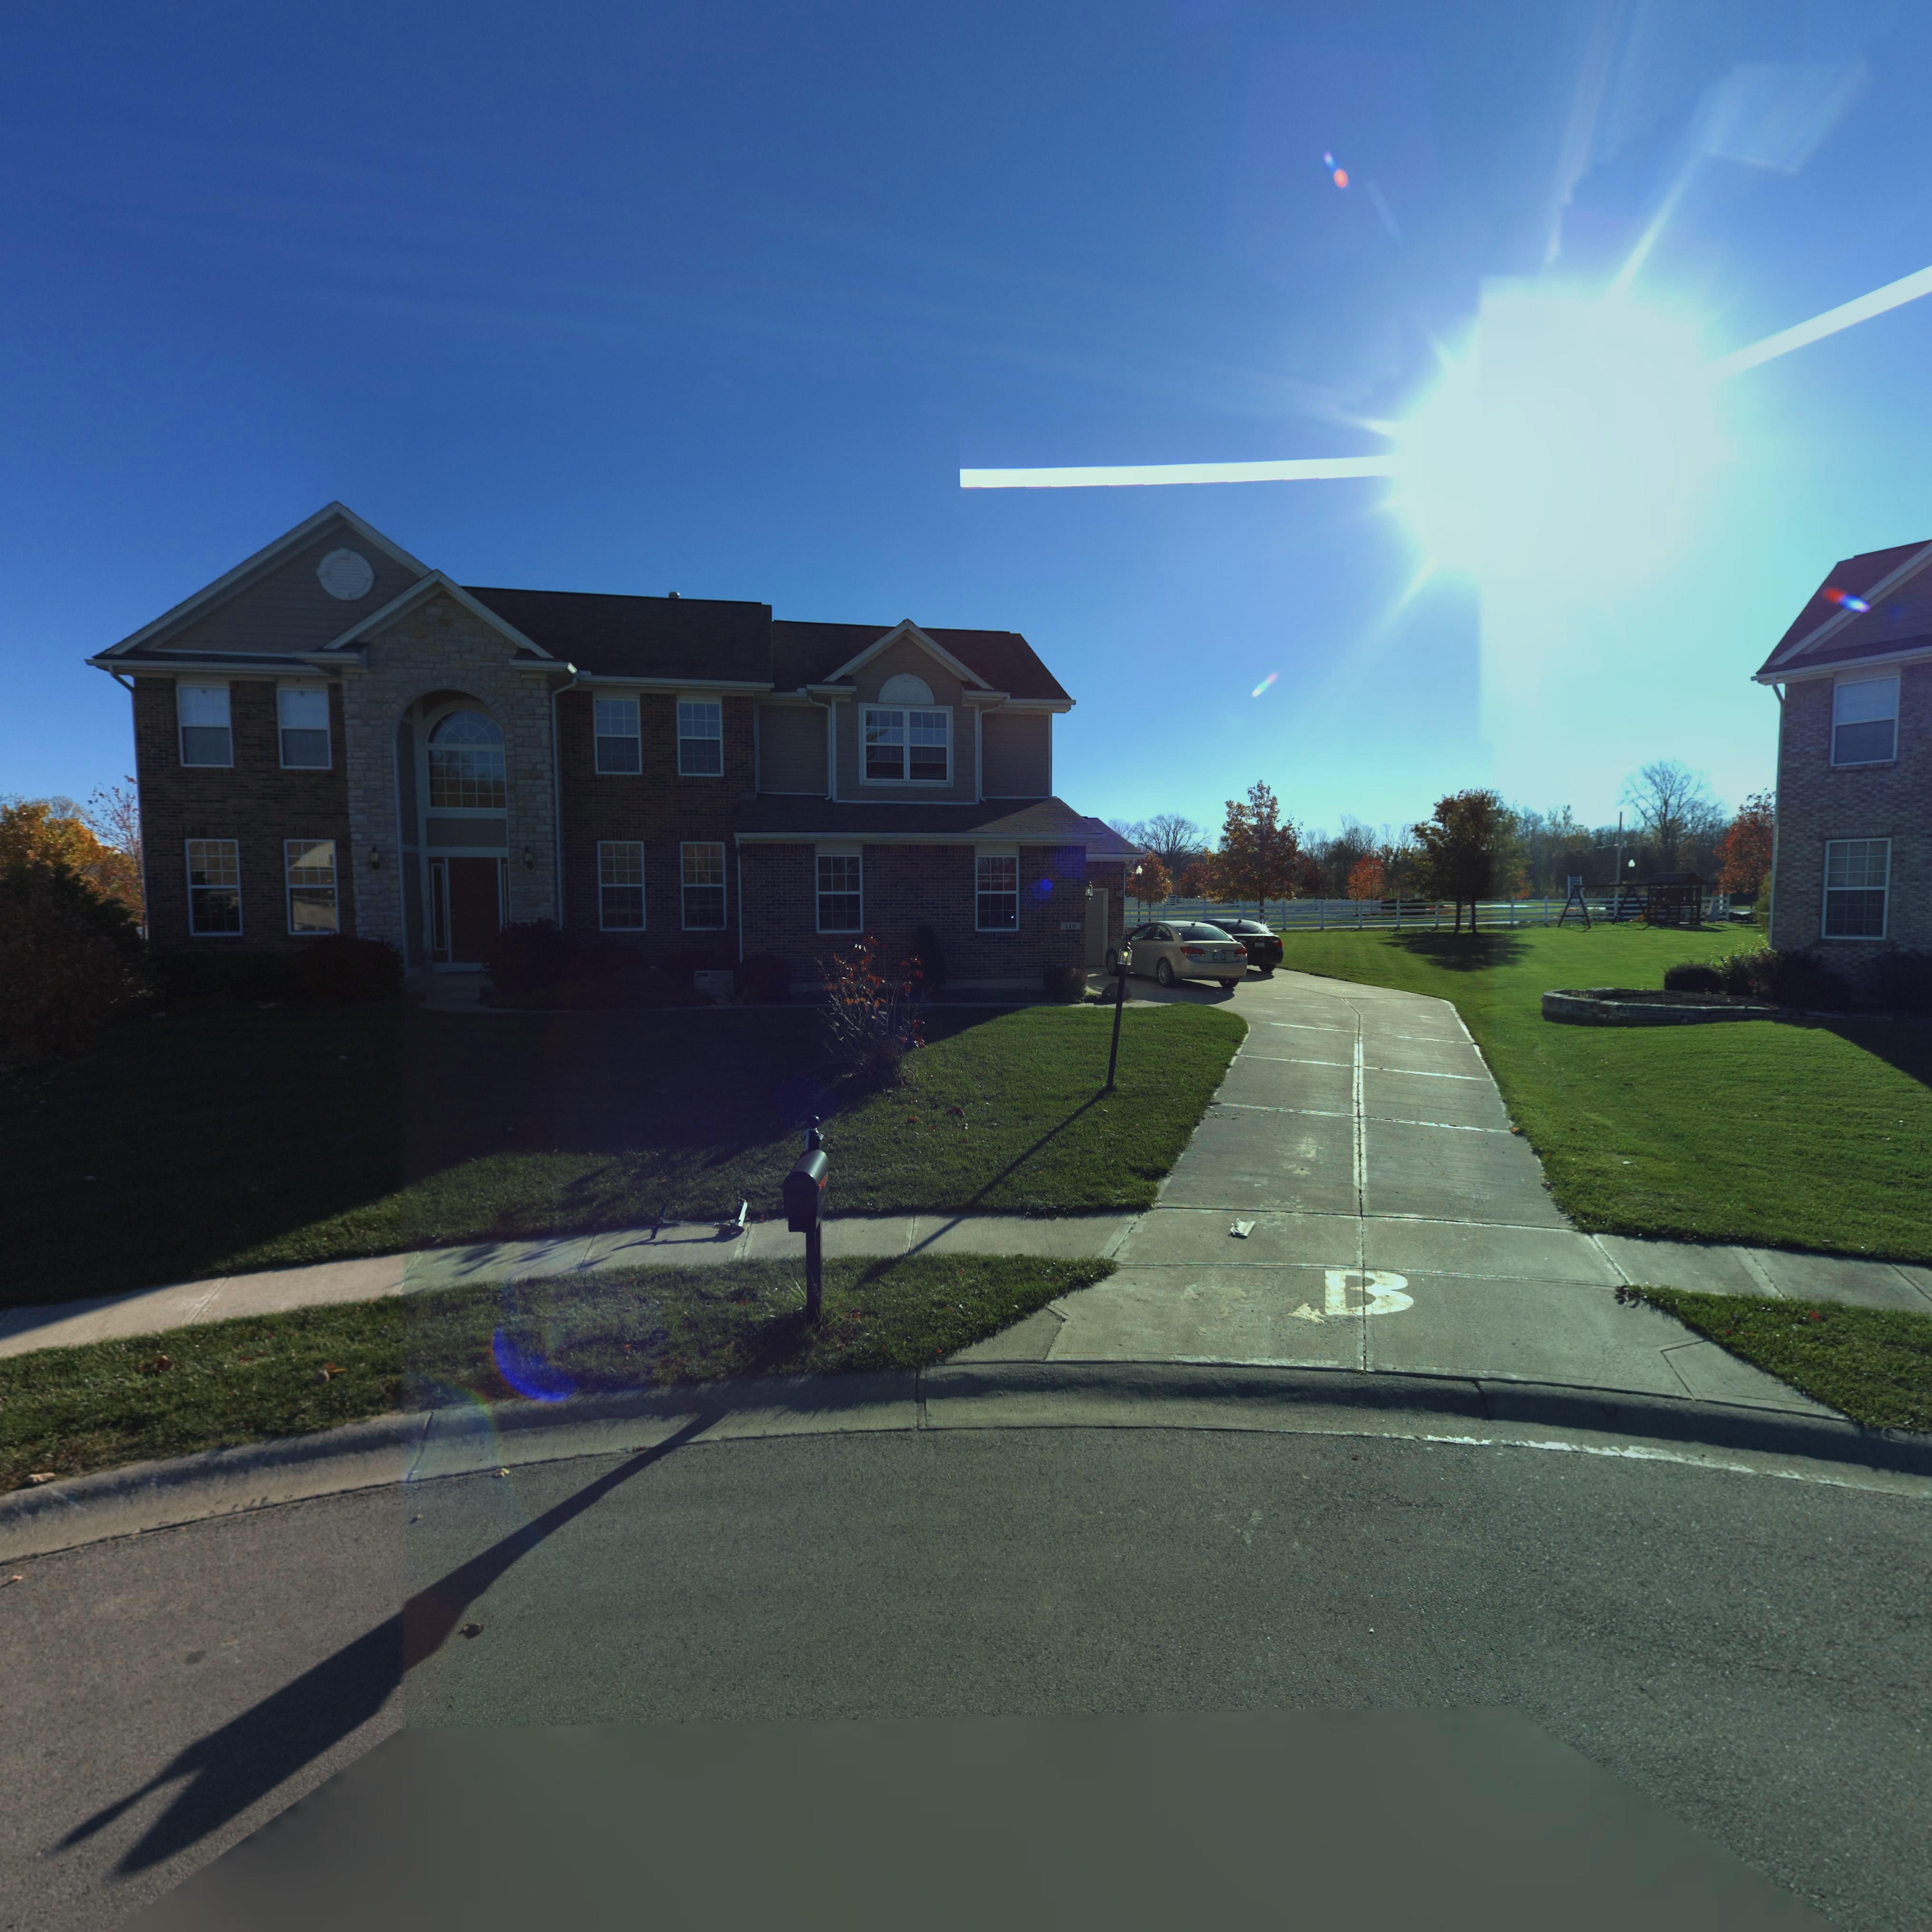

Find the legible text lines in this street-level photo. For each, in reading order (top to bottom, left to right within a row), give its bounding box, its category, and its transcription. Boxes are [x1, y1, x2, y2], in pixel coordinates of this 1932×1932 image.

[1064, 923, 1077, 929] StreetNumber: 110